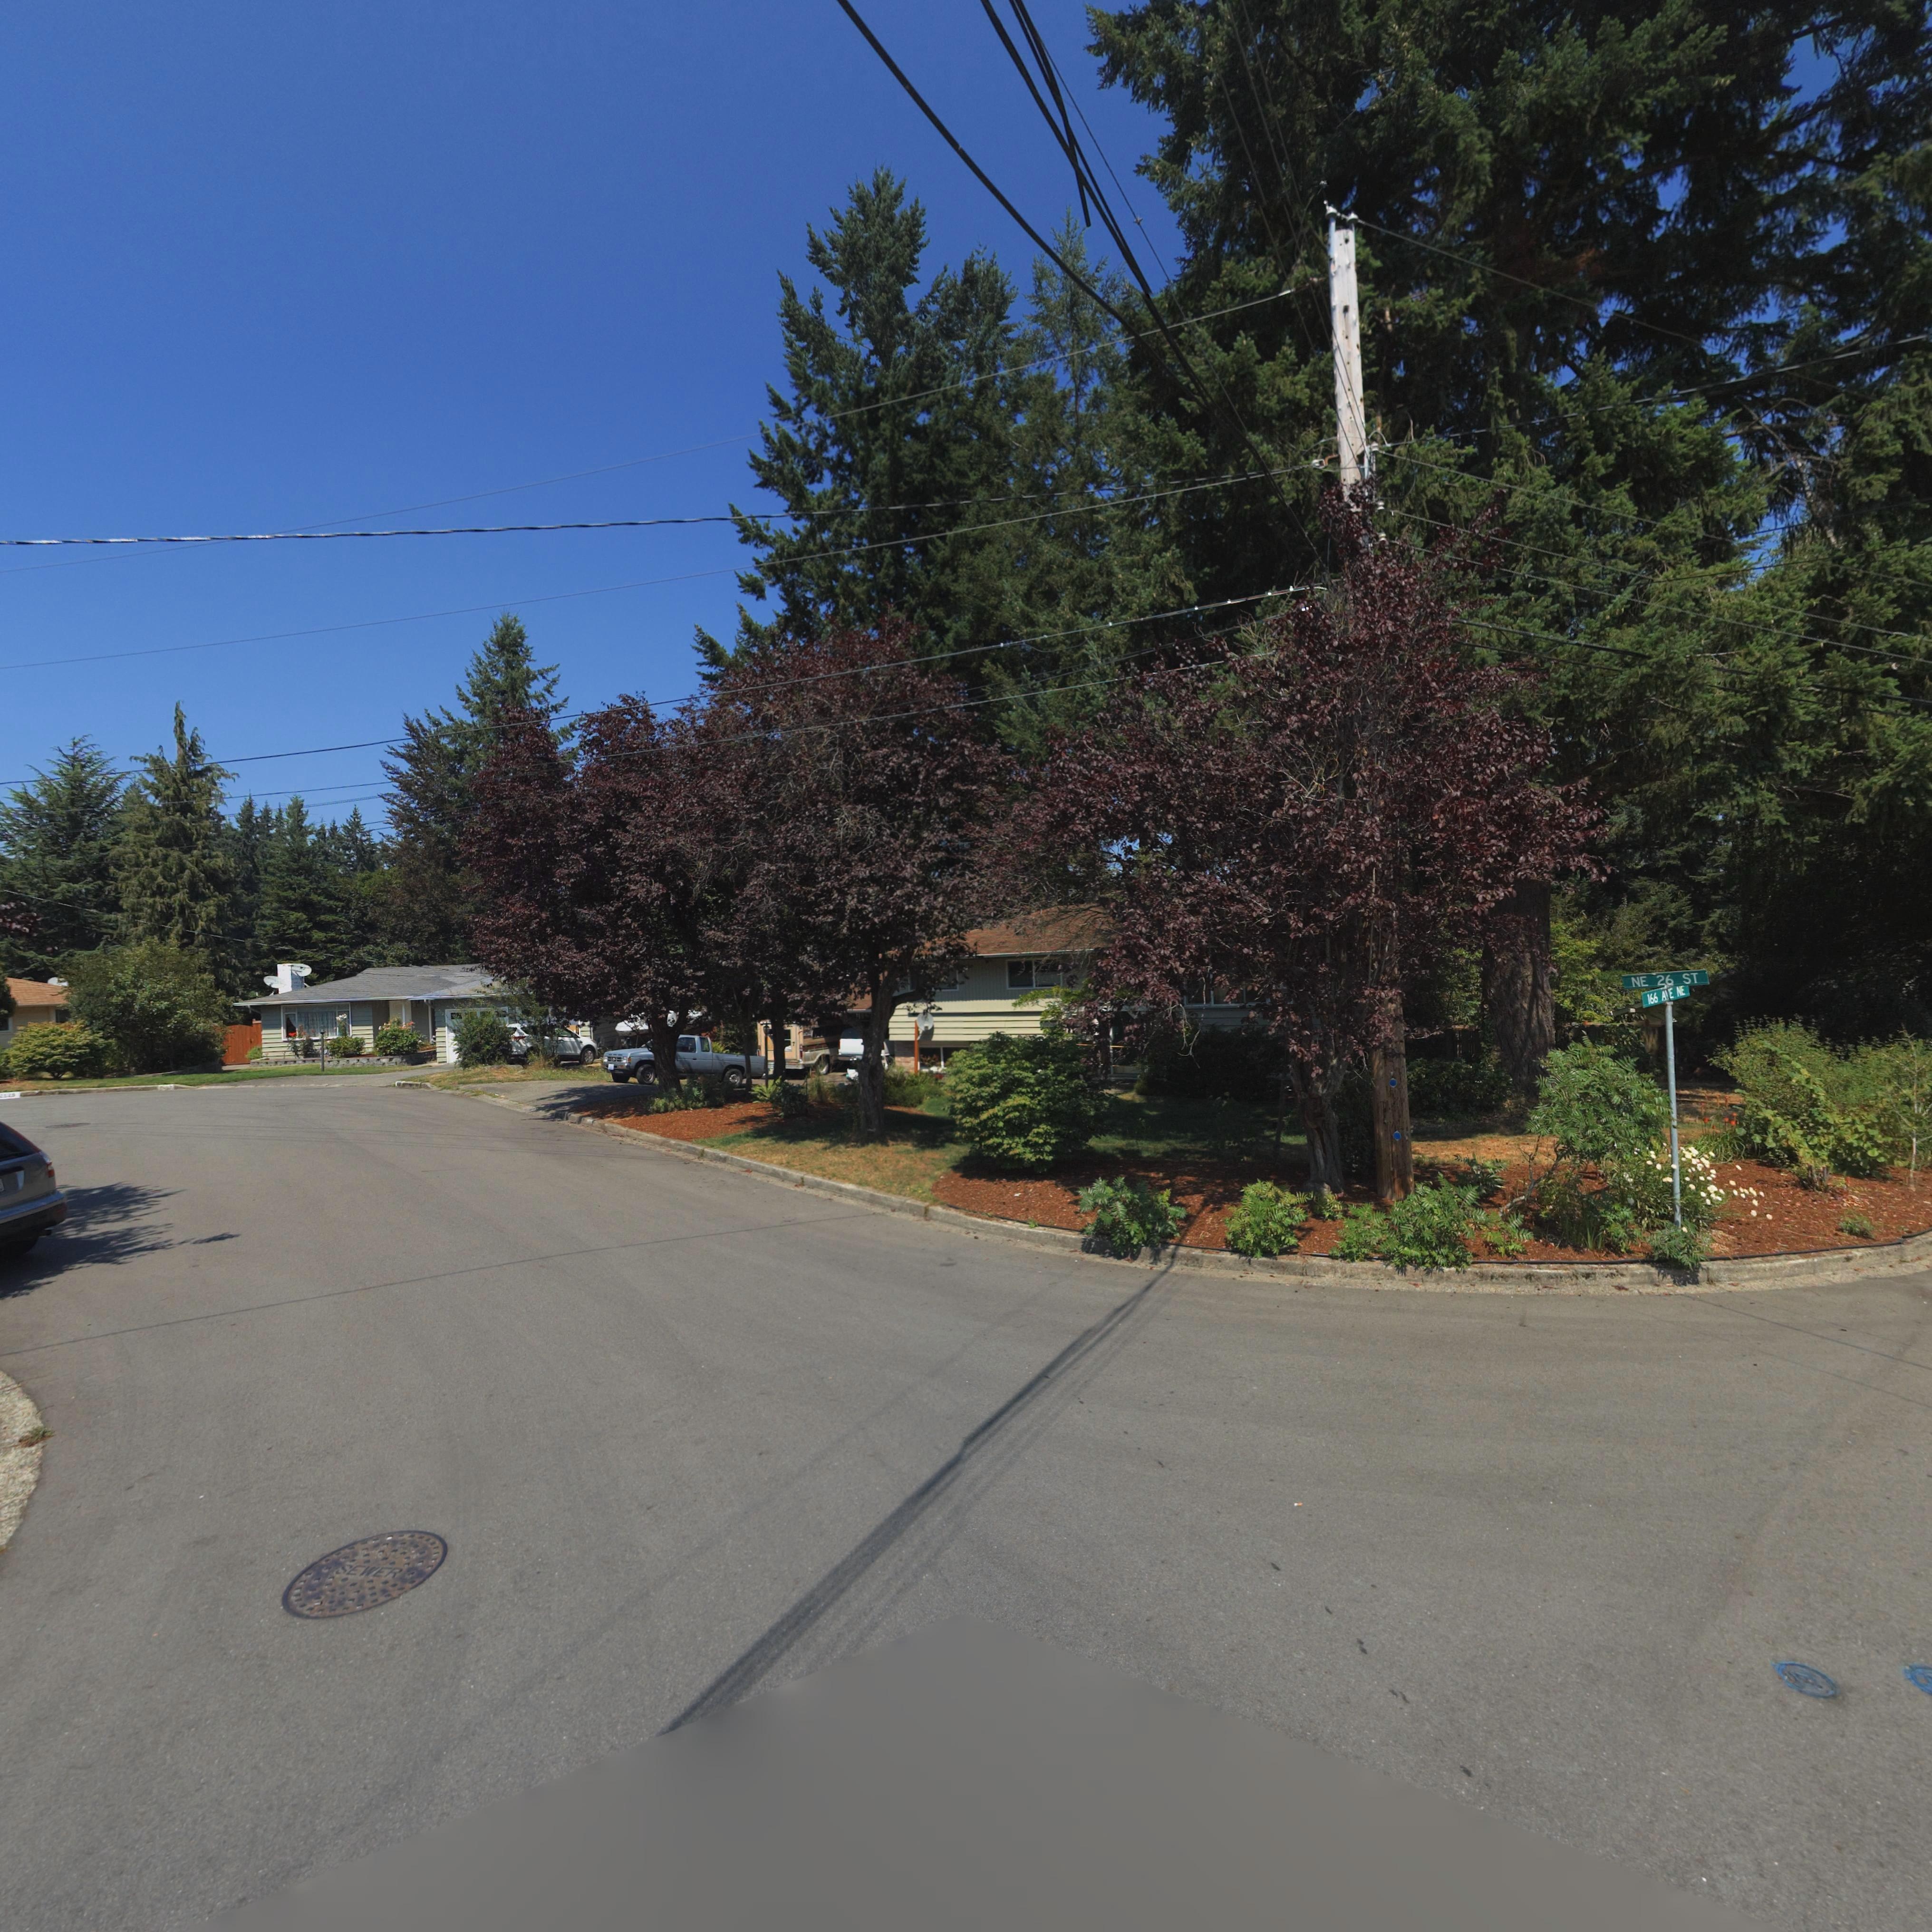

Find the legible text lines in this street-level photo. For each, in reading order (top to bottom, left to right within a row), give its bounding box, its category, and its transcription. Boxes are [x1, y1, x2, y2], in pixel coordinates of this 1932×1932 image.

[1630, 971, 1700, 987] StreetName: NE 26 ST
[1646, 985, 1686, 1006] StreetName: 166 AVE NE